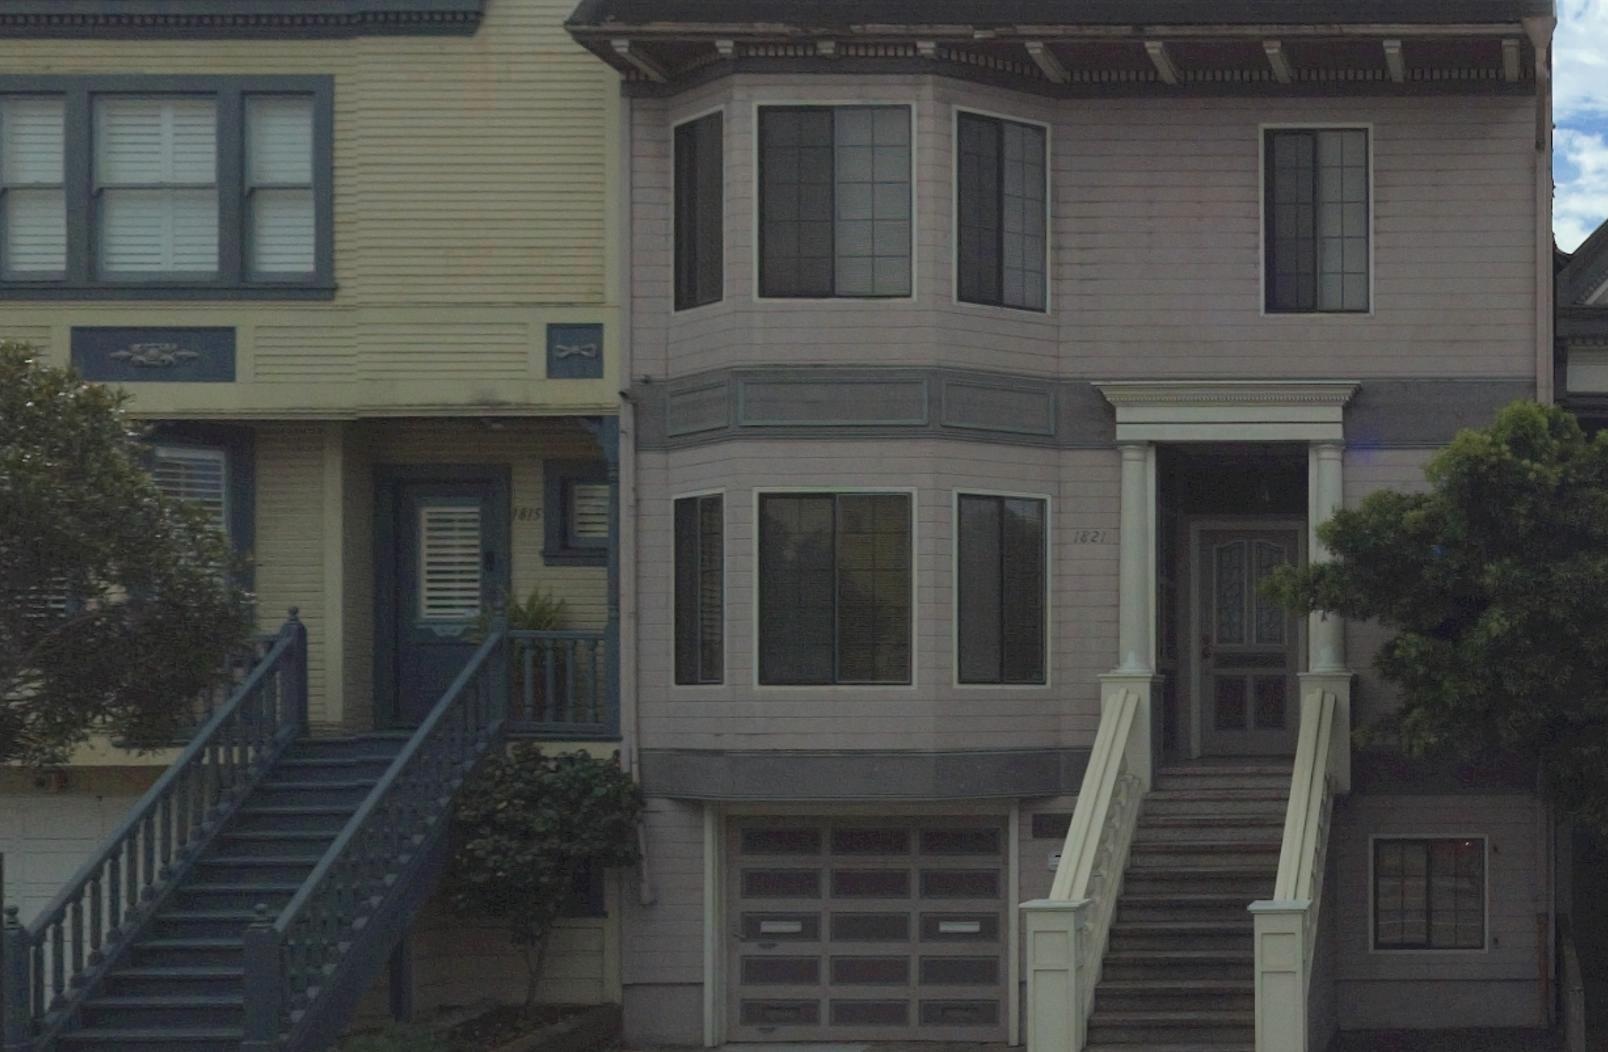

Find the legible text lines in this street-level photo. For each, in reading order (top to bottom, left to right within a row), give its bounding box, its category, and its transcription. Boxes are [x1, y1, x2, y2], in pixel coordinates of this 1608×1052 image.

[511, 506, 543, 522] StreetNumber: 1815
[1073, 529, 1108, 544] StreetNumber: 1821